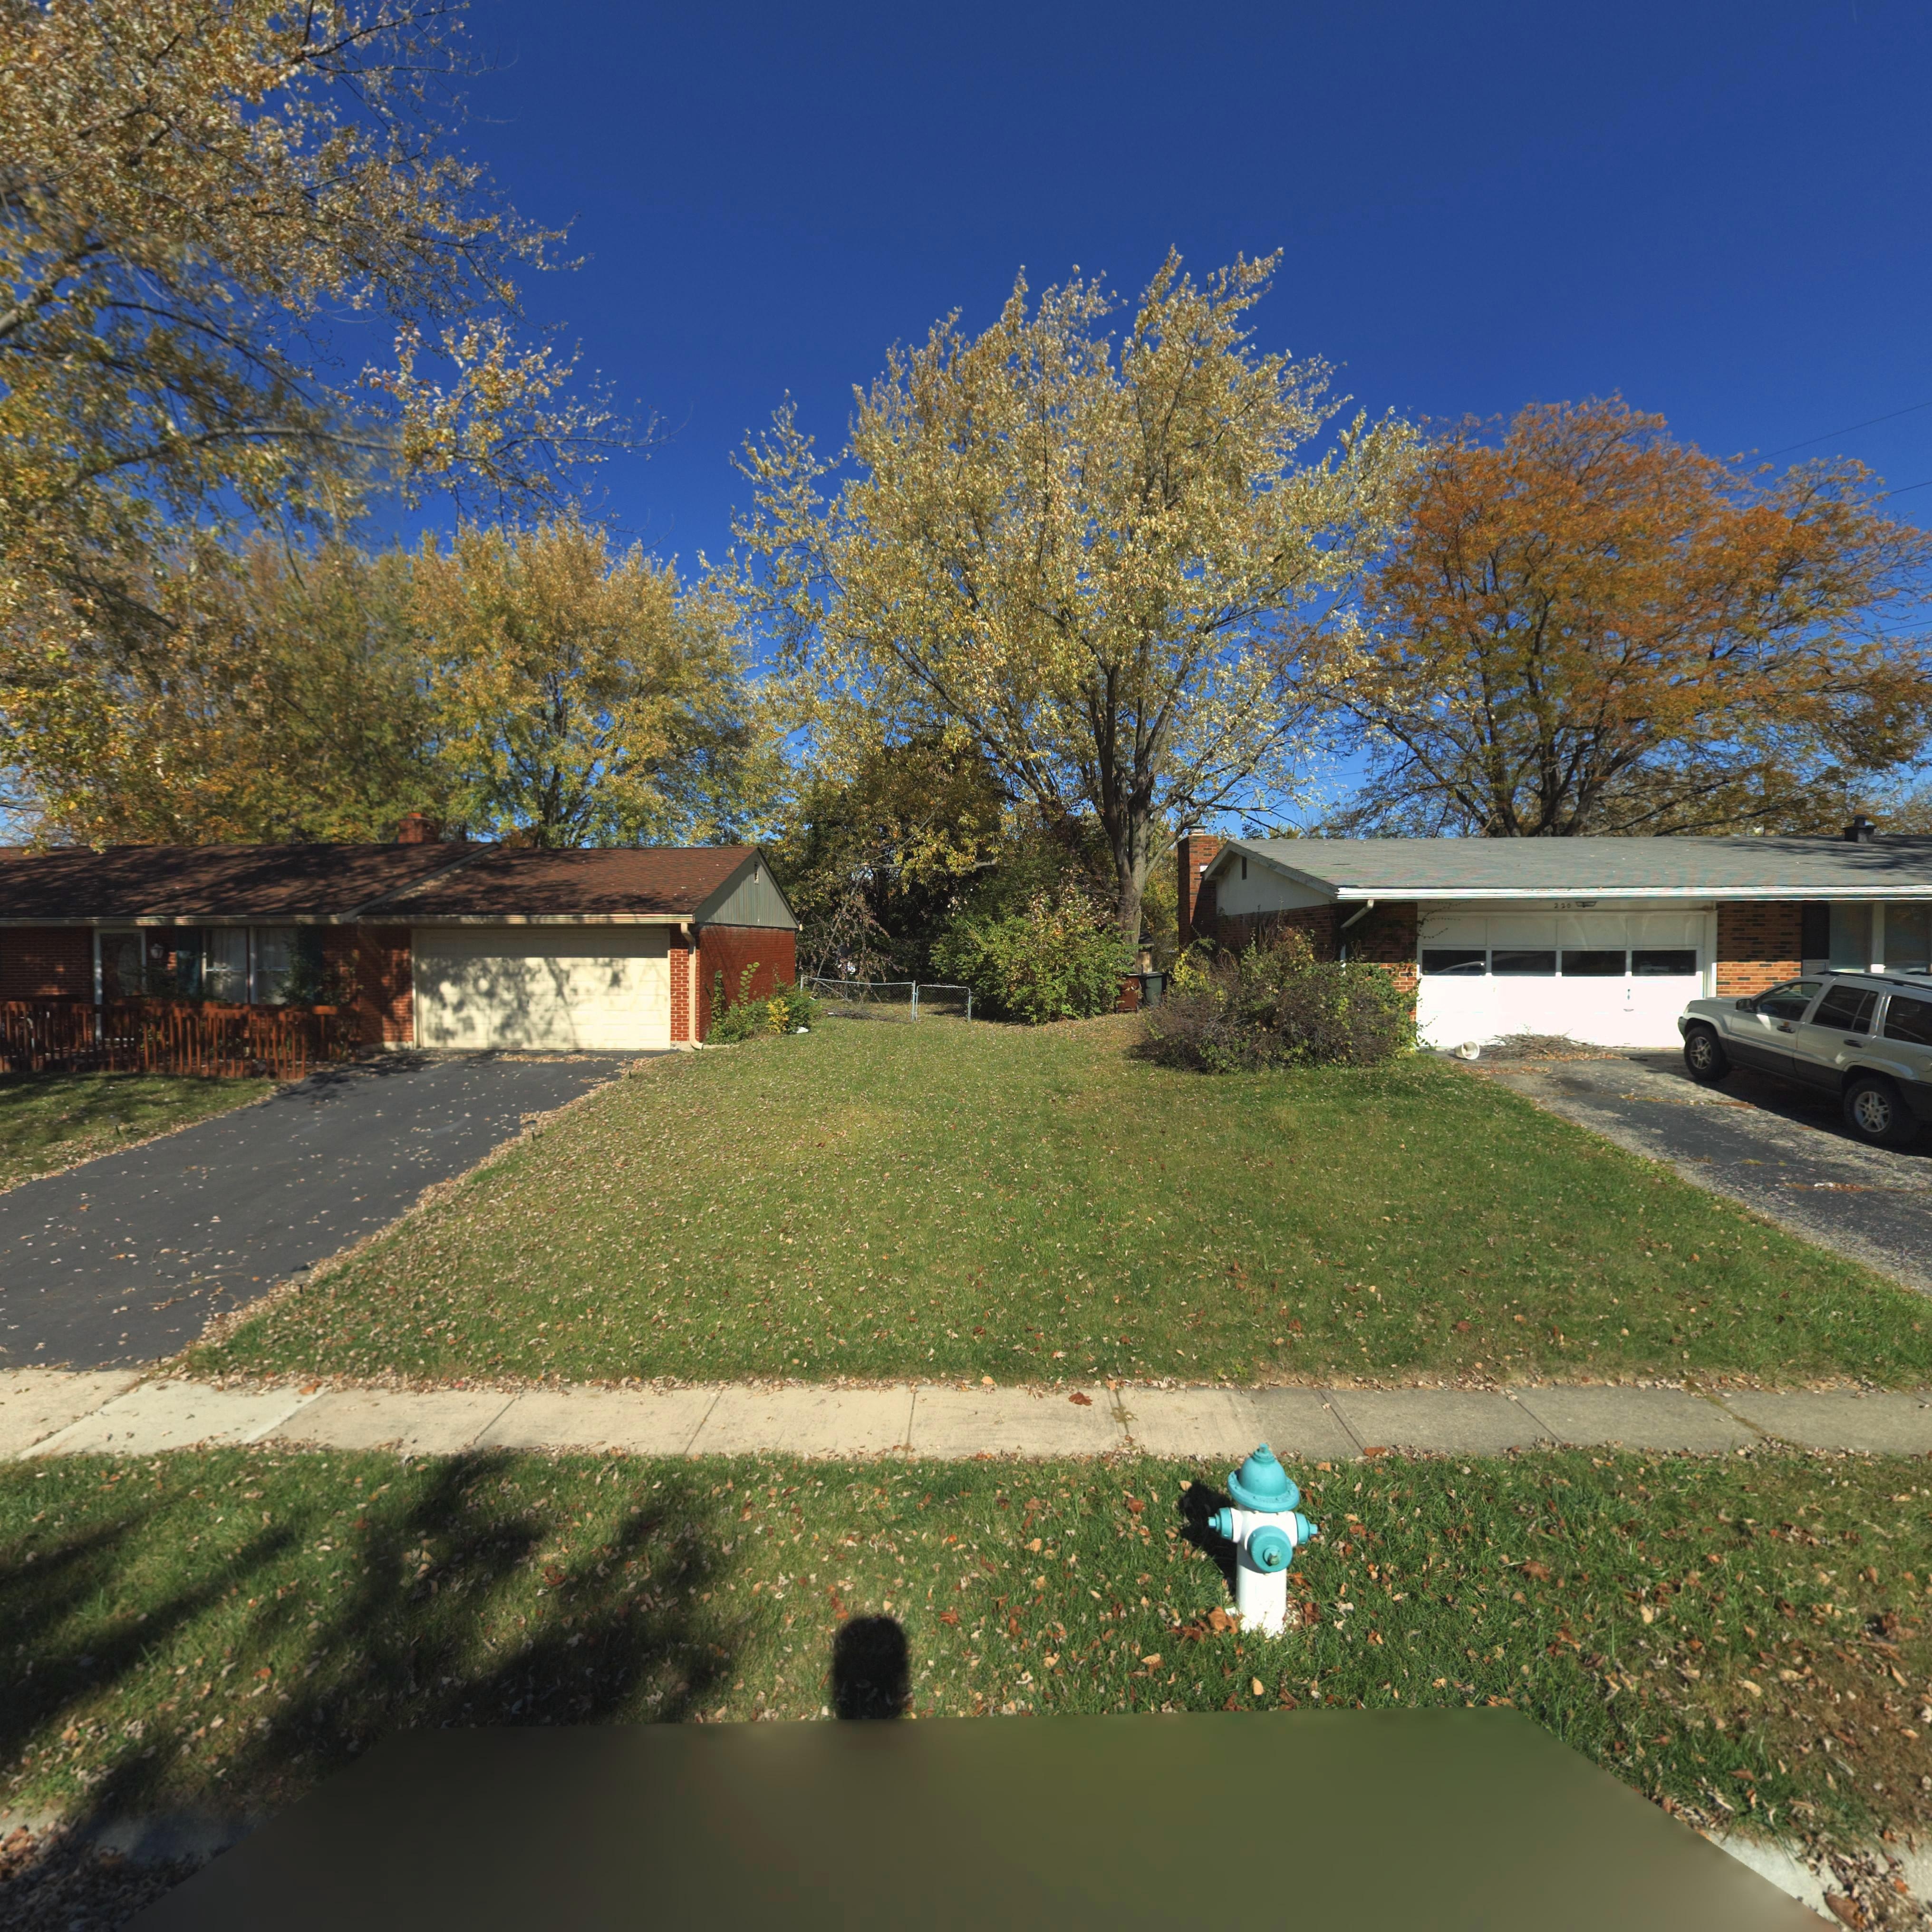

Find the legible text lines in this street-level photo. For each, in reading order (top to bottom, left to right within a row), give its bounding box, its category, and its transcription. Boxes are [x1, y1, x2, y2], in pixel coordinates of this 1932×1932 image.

[1554, 902, 1571, 909] StreetNumber: 220